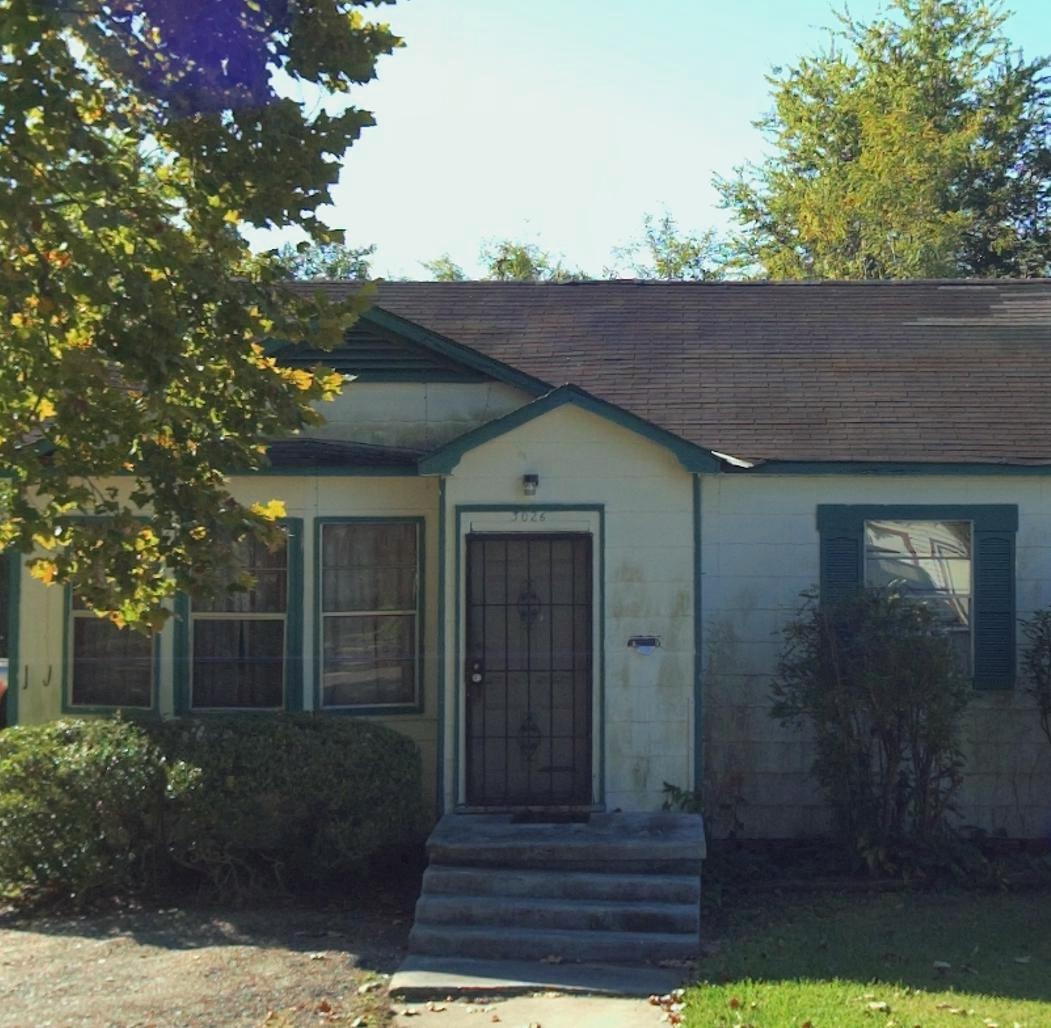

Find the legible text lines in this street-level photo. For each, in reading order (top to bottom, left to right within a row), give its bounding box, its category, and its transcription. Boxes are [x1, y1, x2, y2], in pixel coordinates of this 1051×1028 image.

[509, 508, 548, 524] StreetNumber: 3026